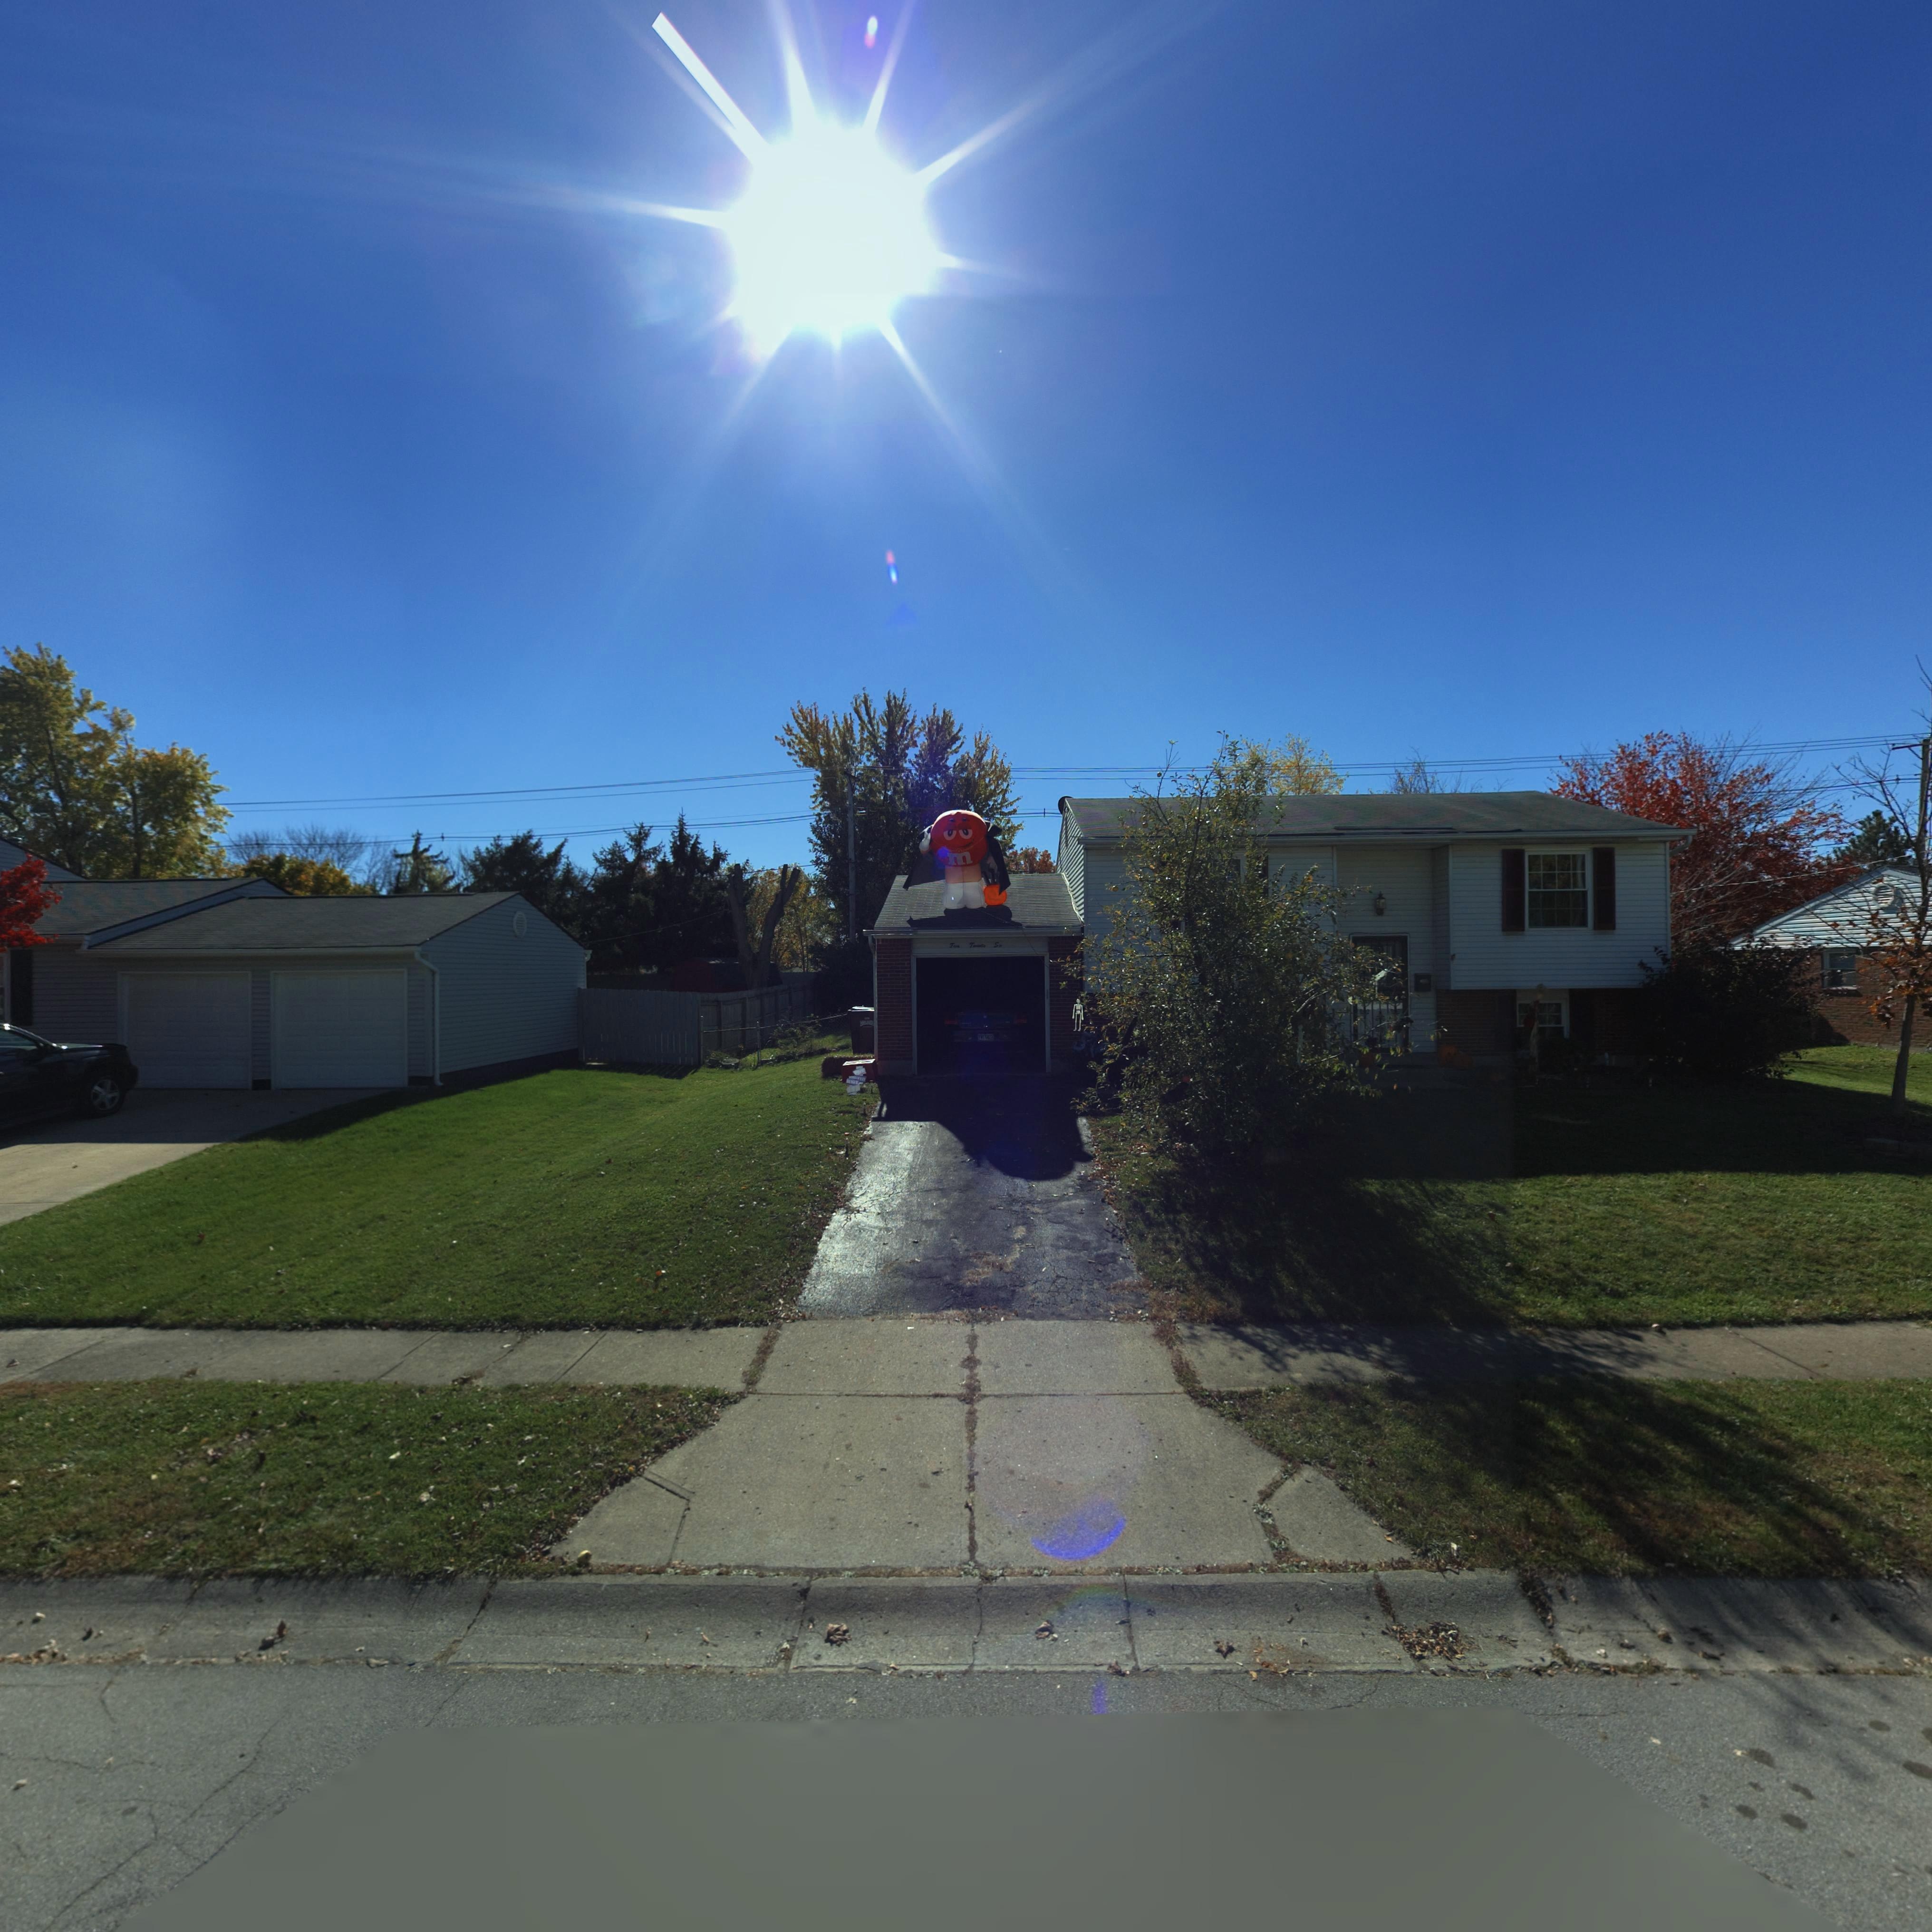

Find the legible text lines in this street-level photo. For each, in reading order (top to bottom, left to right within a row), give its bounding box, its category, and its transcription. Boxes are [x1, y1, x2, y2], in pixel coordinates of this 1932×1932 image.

[949, 942, 1003, 948] StreetNumber: Two T***** Six